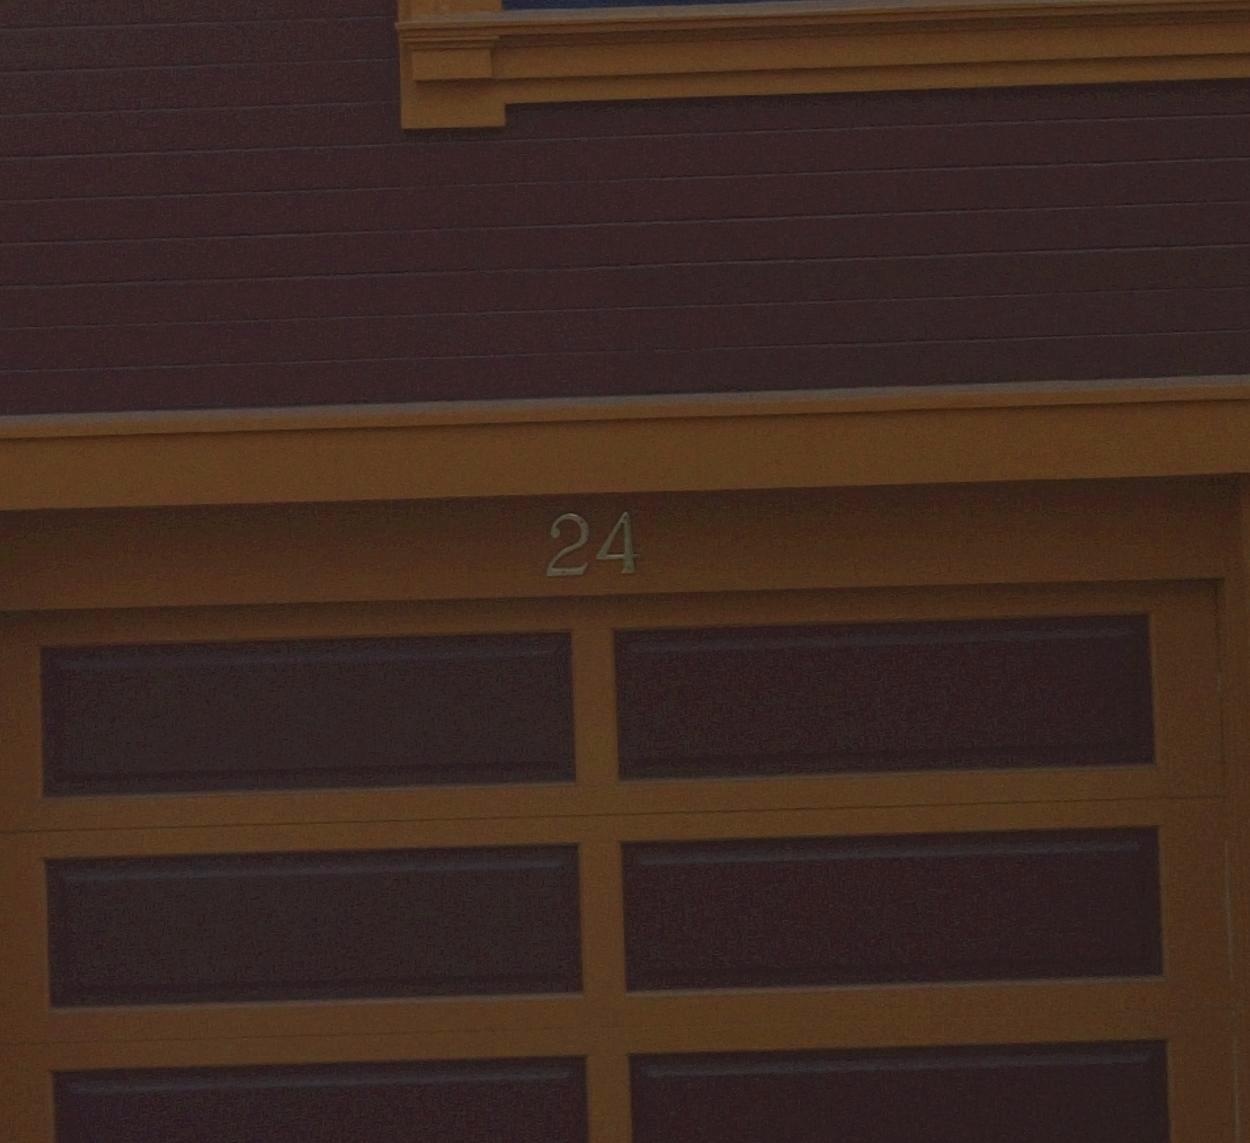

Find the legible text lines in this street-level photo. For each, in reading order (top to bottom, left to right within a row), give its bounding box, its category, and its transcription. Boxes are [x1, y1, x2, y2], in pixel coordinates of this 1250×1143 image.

[542, 509, 644, 580] StreetNumber: 24